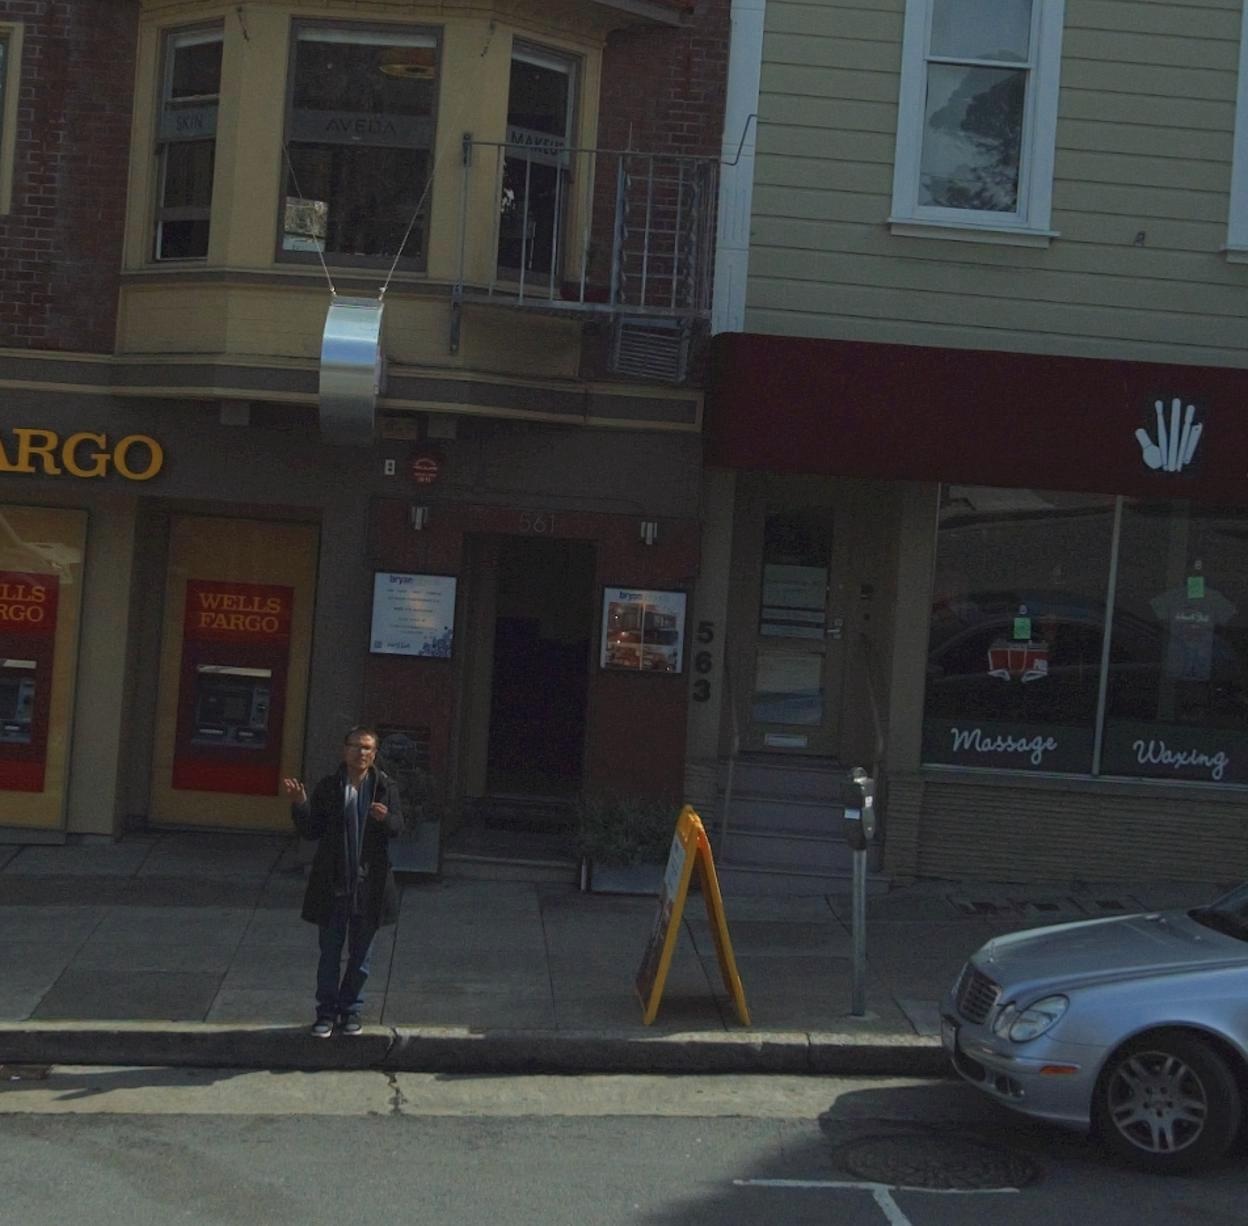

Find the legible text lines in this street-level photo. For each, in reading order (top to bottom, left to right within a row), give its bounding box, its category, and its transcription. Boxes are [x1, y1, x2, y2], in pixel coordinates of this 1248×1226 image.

[174, 112, 204, 133] None: SKIN
[322, 115, 400, 137] None: AVEDA
[508, 128, 567, 161] None: M*****
[0, 422, 167, 486] BusinessName: *RGO
[516, 510, 557, 535] StreetNumber: 561
[0, 600, 46, 627] BusinessName: *GO
[0, 580, 52, 605] BusinessName: LLS
[195, 588, 285, 615] BusinessName: WELLS
[196, 608, 284, 635] BusinessName: FARGO
[691, 619, 716, 705] StreetNumber: 563
[949, 724, 1062, 768] None: Massage
[1127, 735, 1231, 785] None: WAXING